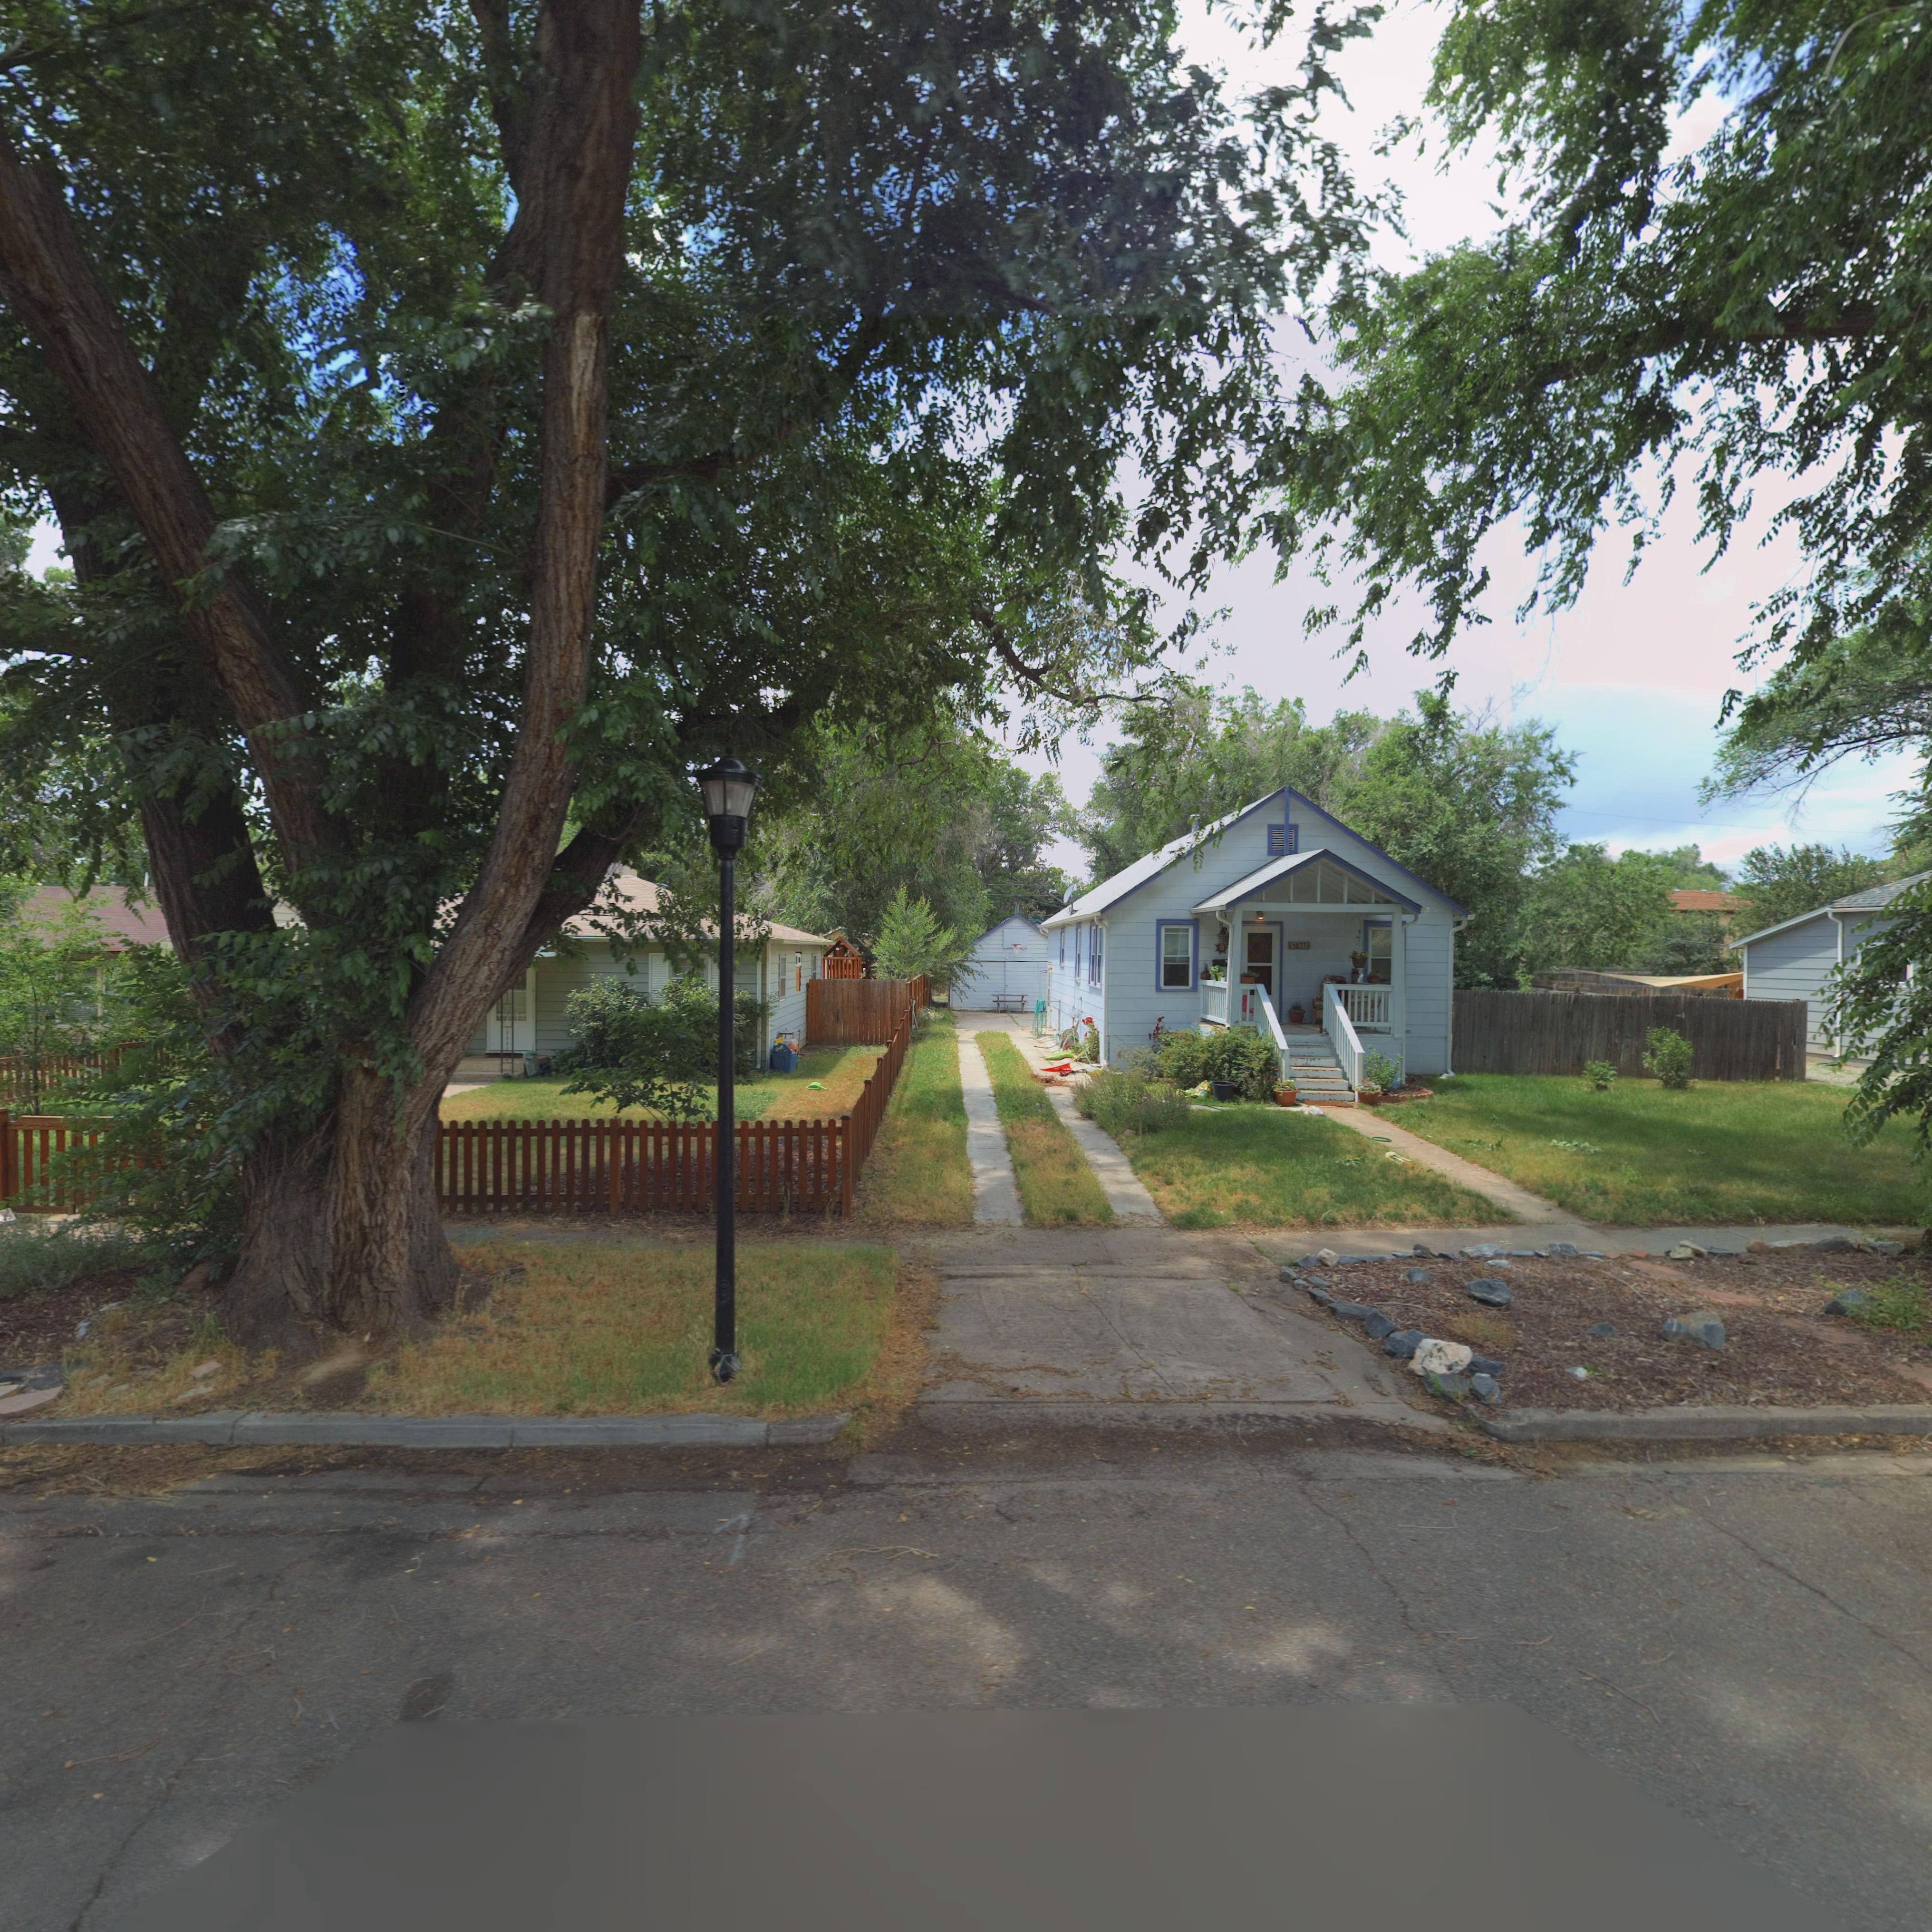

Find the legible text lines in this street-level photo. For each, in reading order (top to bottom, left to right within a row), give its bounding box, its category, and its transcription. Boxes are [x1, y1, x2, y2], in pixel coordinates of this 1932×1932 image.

[1292, 943, 1306, 949] StreetNumber: 1033